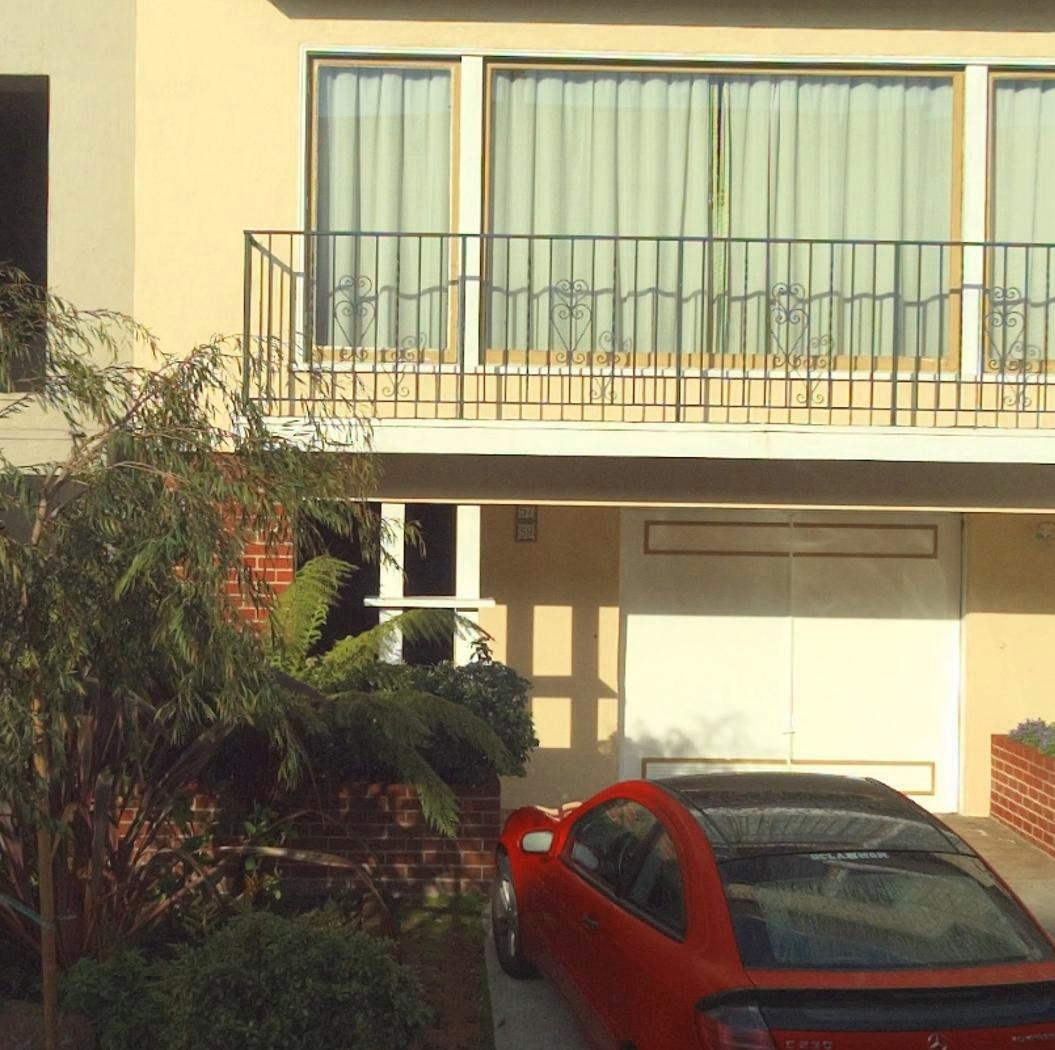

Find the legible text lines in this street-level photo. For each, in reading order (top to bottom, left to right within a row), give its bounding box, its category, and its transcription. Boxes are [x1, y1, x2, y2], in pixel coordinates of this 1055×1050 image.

[518, 505, 534, 518] StreetNumber: 57
[517, 525, 534, 539] StreetNumber: 59